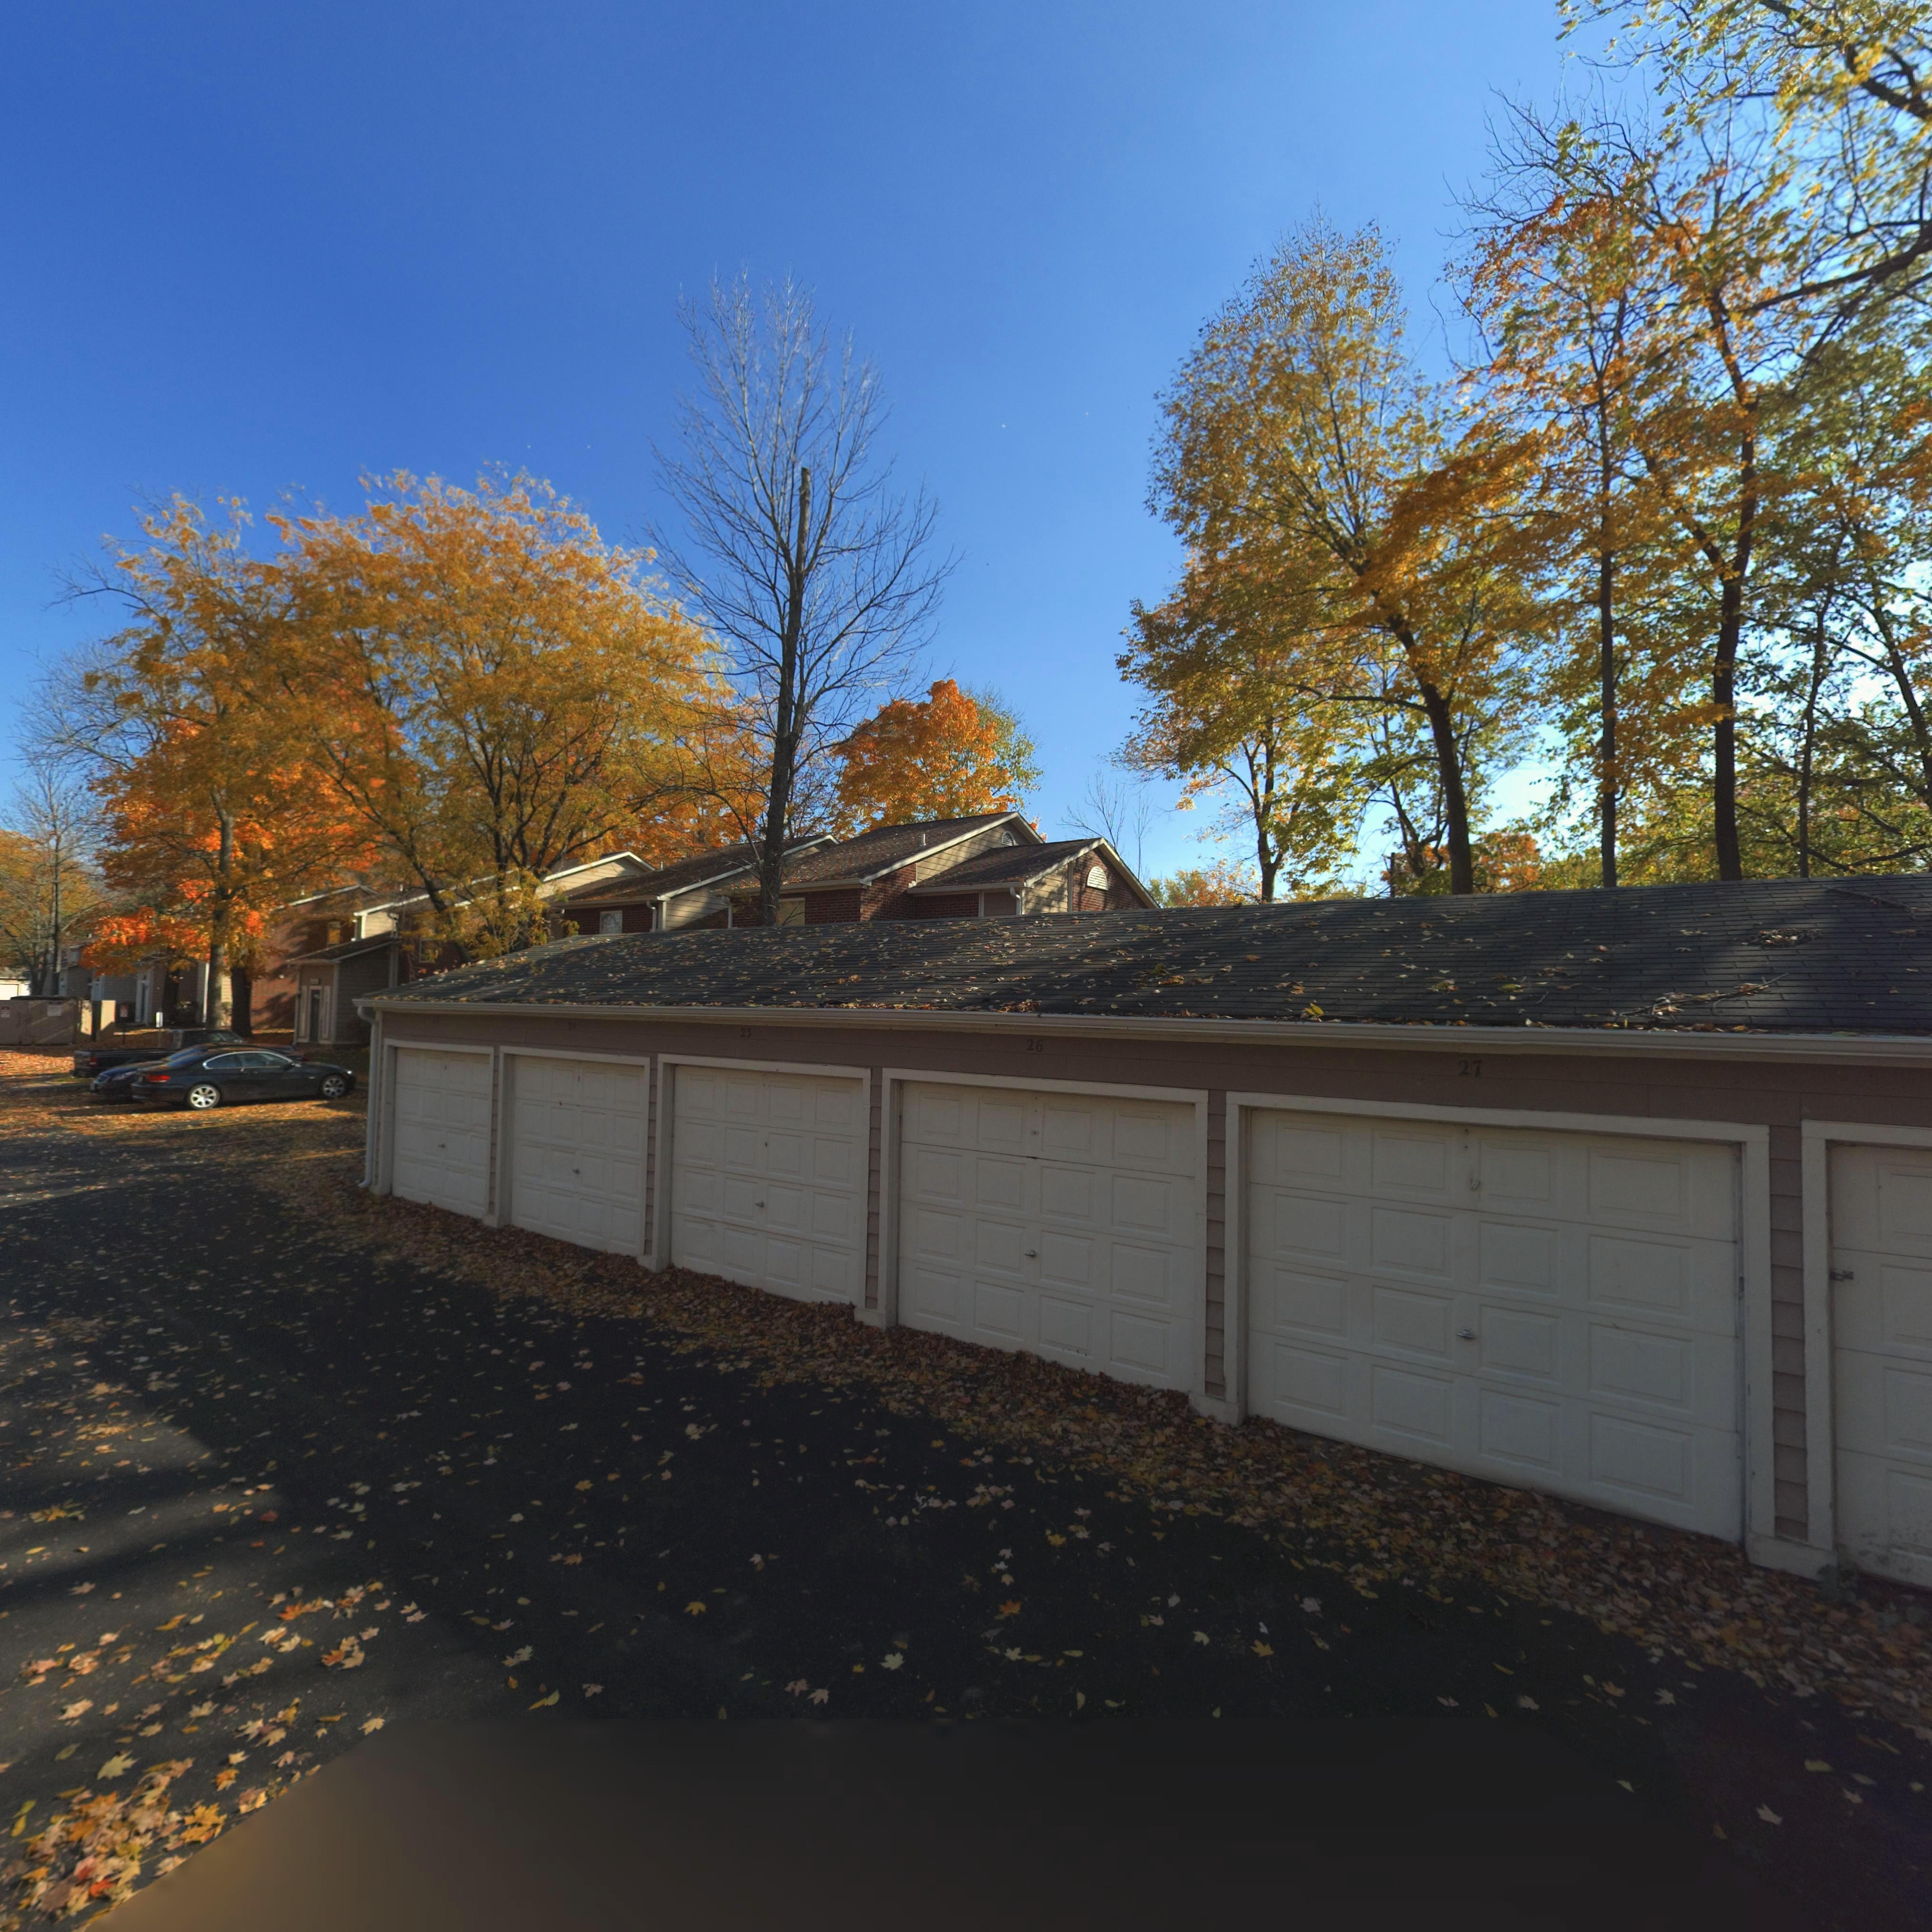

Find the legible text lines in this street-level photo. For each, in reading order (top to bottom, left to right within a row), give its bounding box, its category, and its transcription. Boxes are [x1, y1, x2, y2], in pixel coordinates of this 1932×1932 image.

[567, 1020, 577, 1032] StreetNumber: *4
[739, 1027, 753, 1039] StreetNumber: 25
[1025, 1038, 1044, 1053] StreetNumber: 26
[1456, 1058, 1484, 1078] StreetNumber: 27